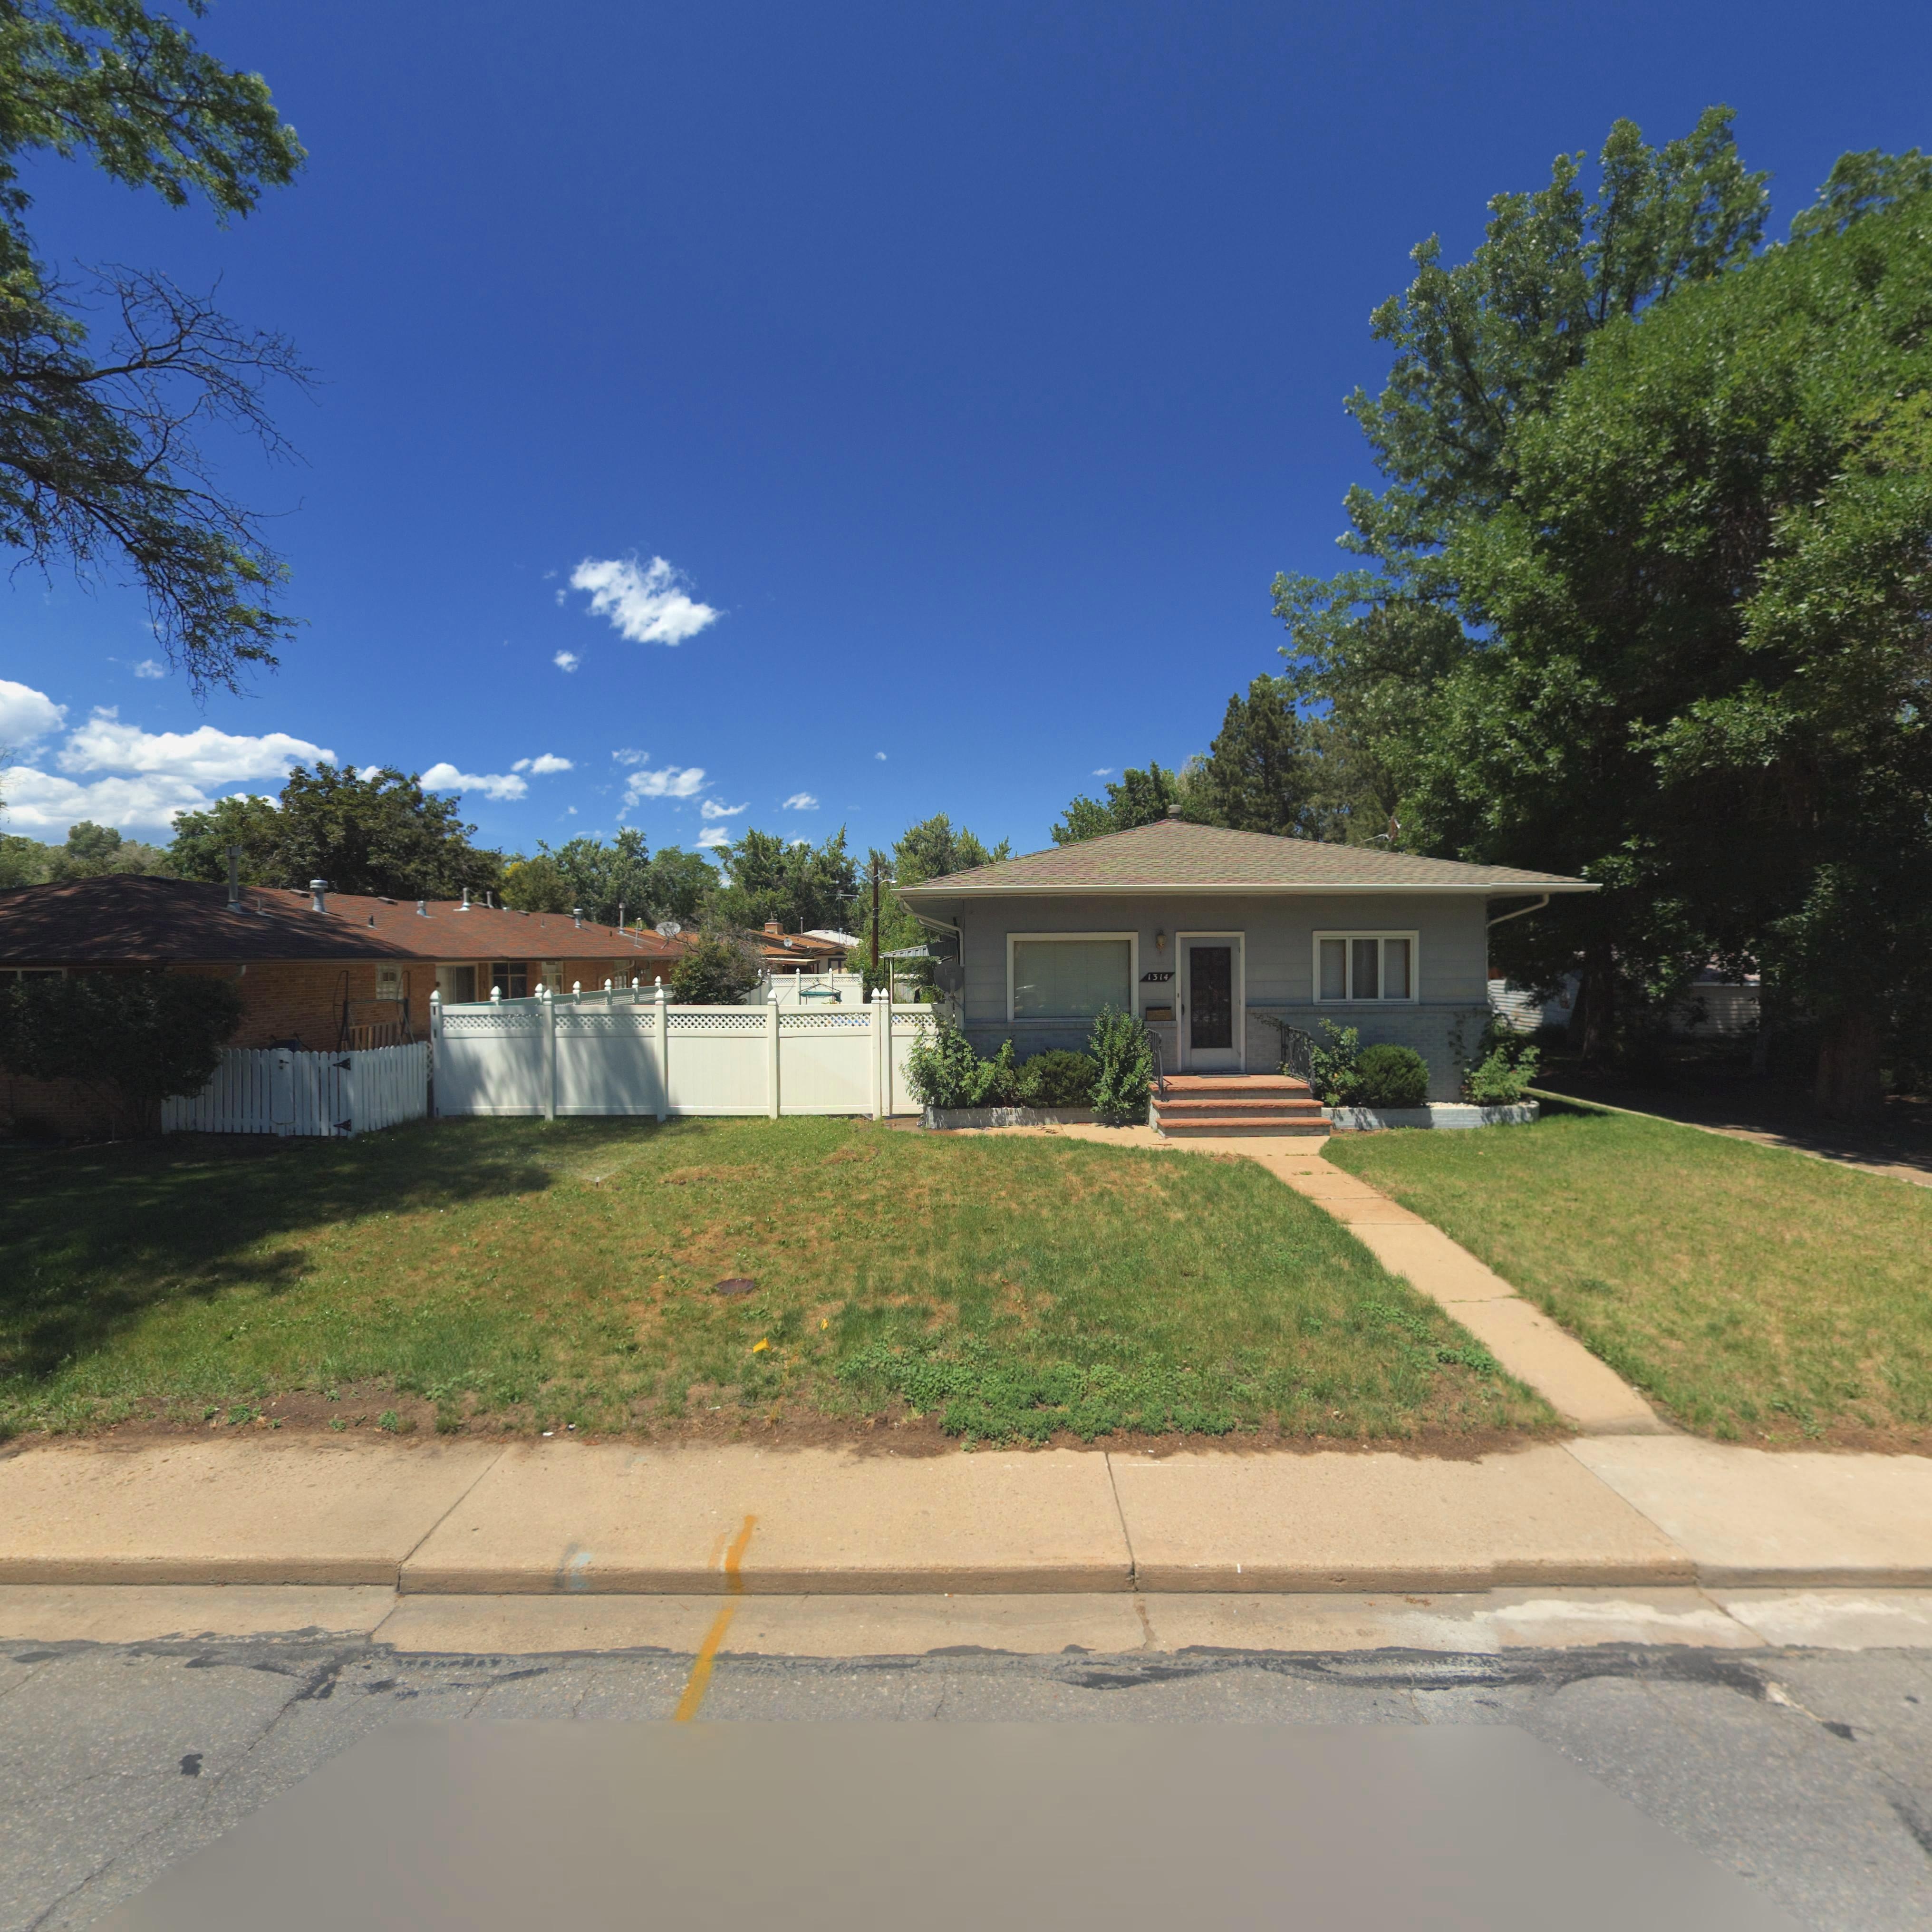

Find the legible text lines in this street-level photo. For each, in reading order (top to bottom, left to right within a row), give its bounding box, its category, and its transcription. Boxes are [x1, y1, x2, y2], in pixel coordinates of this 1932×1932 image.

[1147, 973, 1168, 981] StreetNumber: 1314